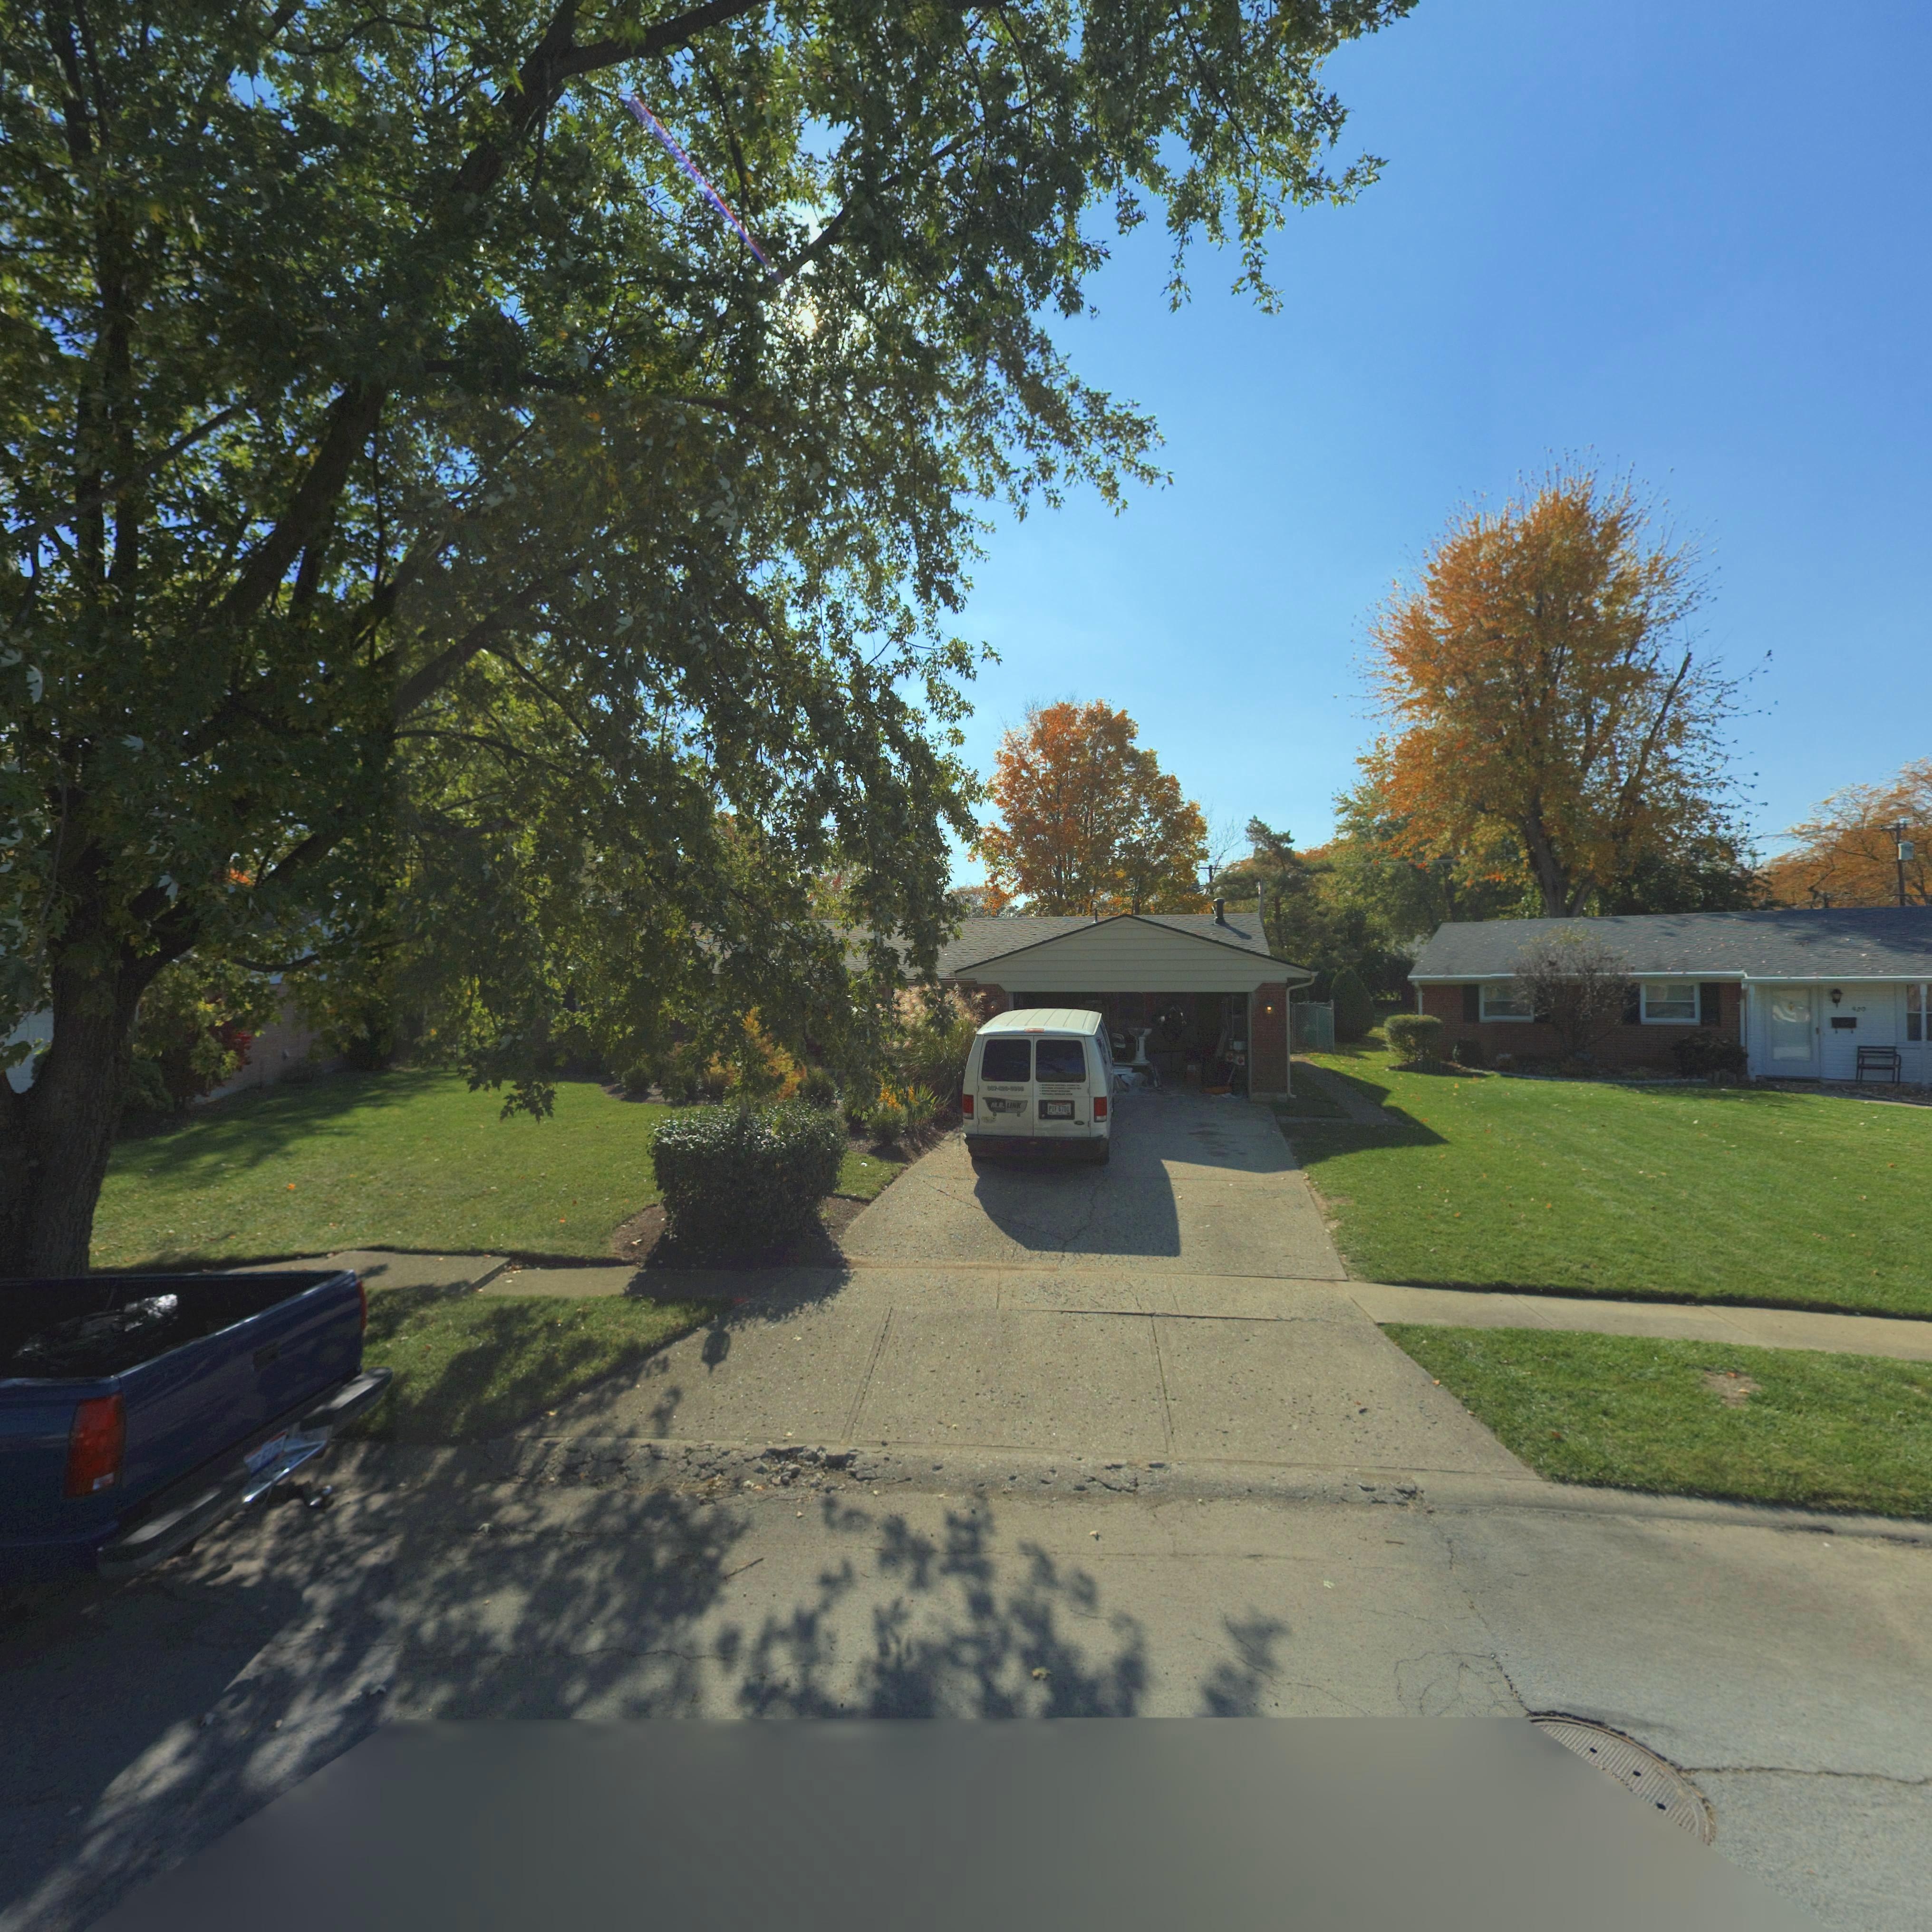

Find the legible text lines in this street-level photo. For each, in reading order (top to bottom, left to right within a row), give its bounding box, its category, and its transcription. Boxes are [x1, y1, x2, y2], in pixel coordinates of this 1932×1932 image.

[1851, 1005, 1867, 1013] StreetNumber: 920
[989, 1101, 1023, 1110] None: M.R. LINK
[1048, 1104, 1070, 1113] None: PIF 6701